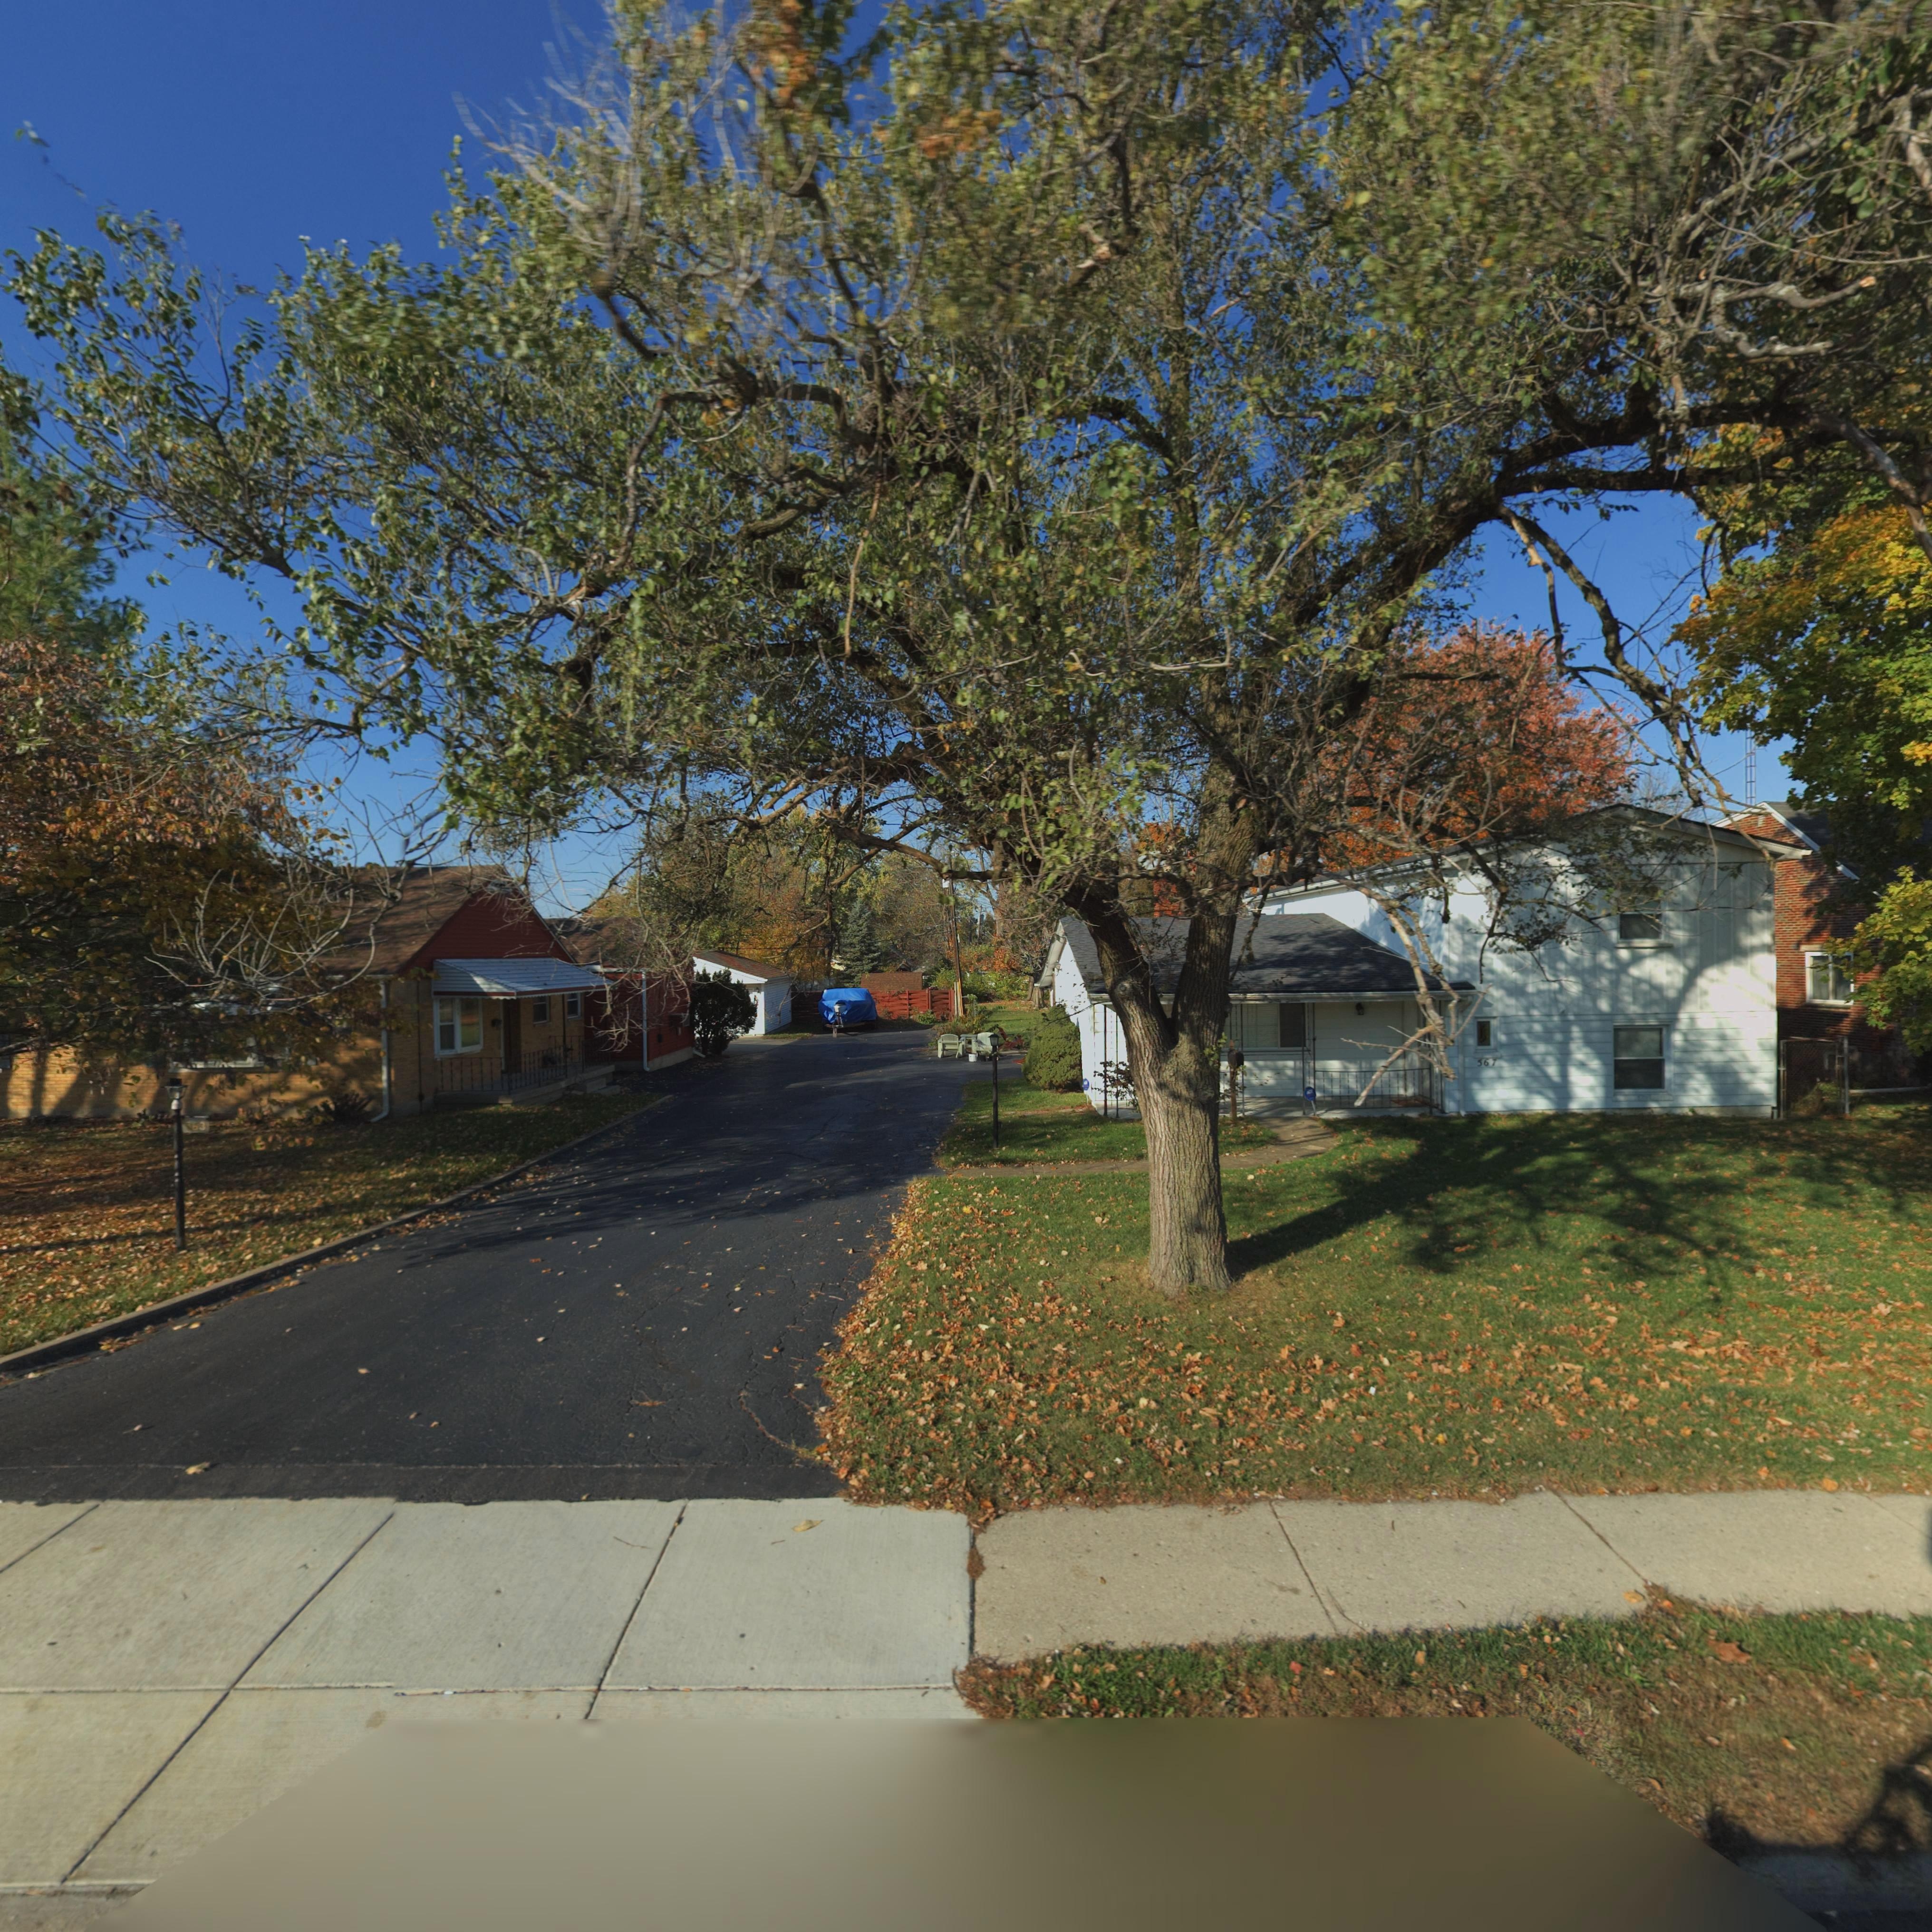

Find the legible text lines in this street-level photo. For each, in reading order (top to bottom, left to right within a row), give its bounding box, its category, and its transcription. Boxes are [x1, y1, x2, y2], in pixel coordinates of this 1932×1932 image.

[1476, 1058, 1497, 1067] StreetNumber: 567